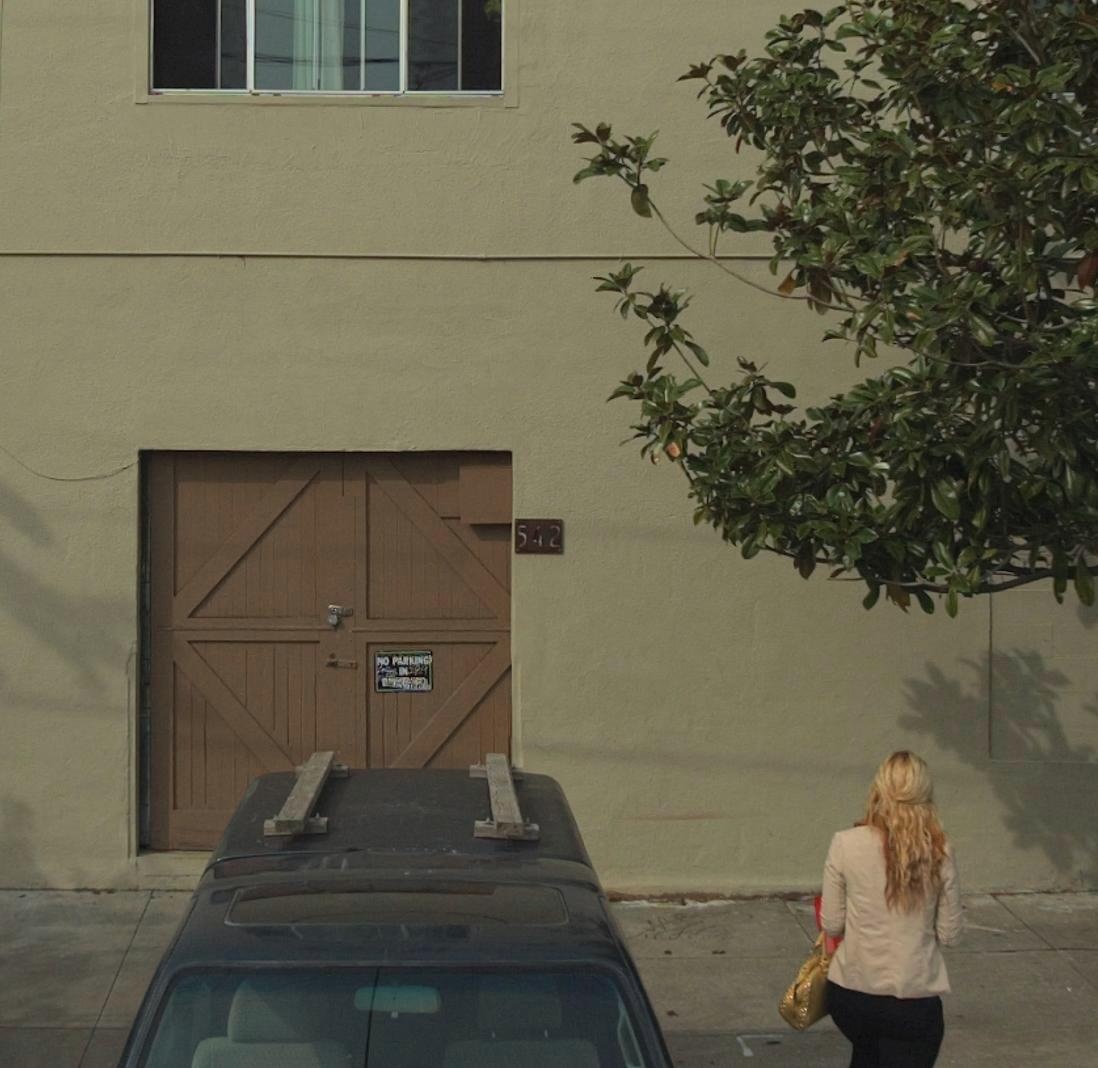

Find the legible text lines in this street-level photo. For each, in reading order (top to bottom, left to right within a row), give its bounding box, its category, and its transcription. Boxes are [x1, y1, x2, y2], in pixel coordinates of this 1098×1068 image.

[516, 522, 563, 549] StreetNumber: 542
[376, 655, 430, 666] None: NO PARKING